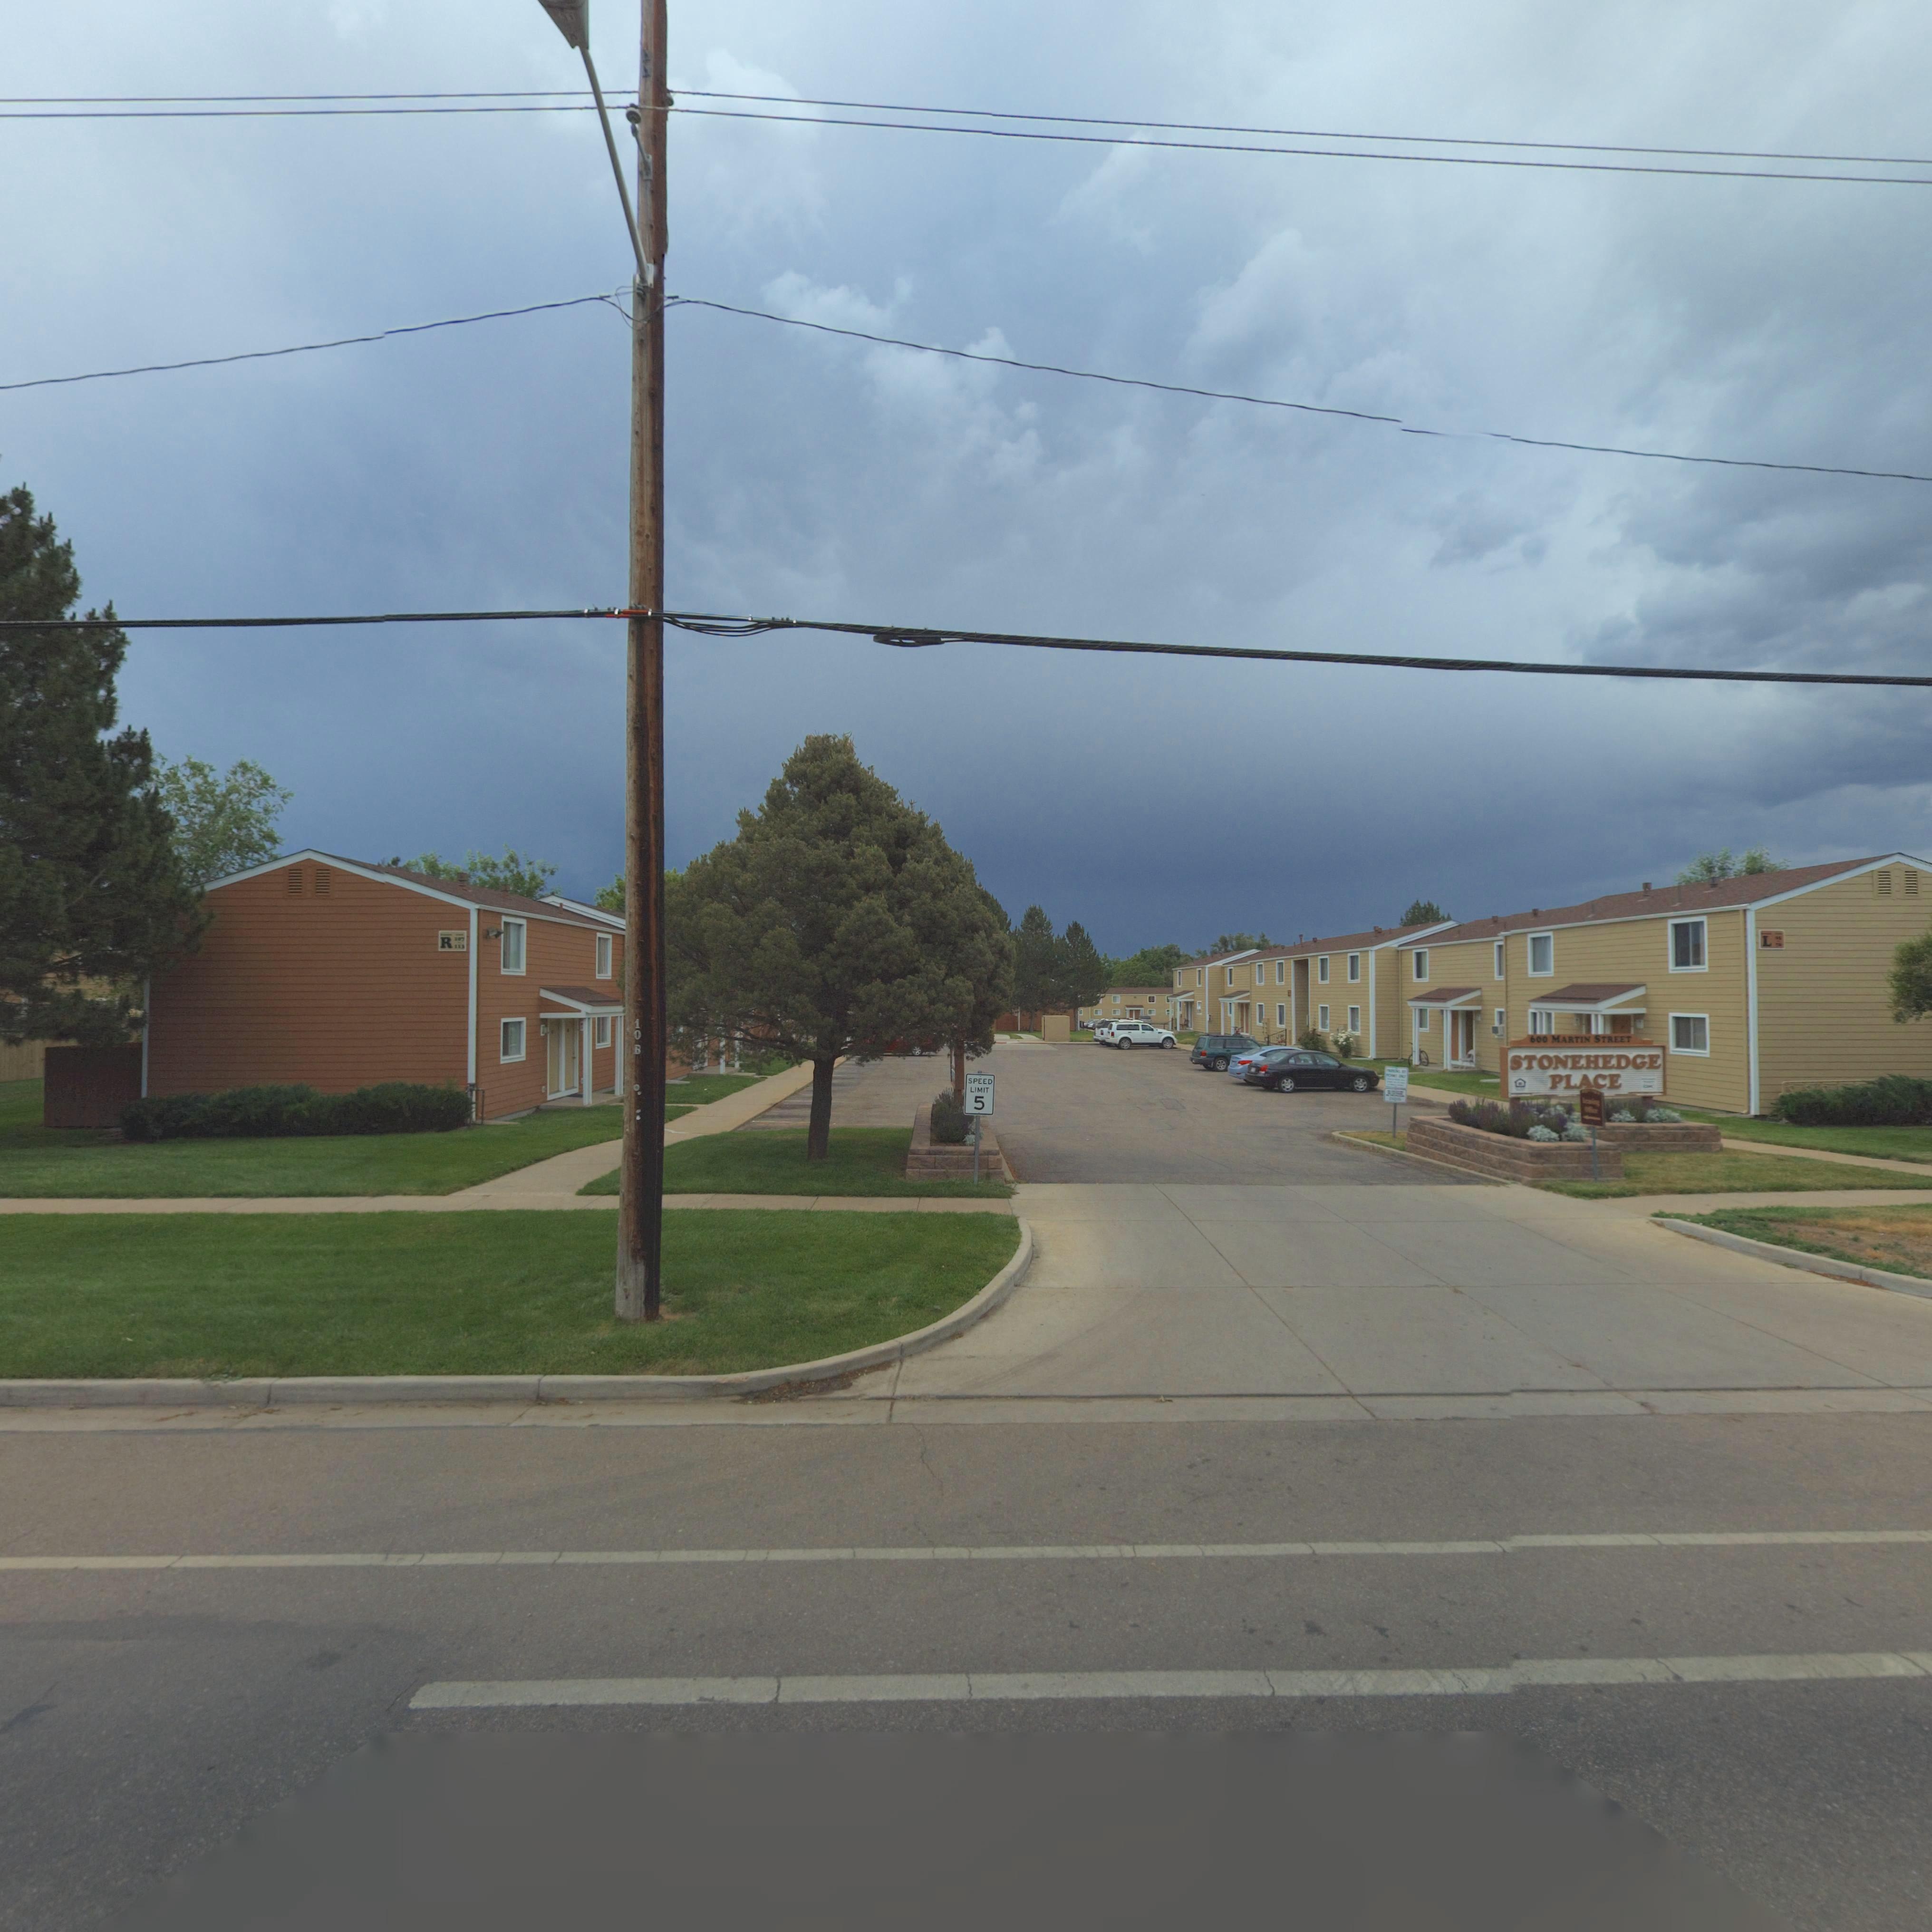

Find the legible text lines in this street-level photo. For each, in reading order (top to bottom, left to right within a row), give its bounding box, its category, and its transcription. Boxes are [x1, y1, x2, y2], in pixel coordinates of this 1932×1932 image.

[1529, 1035, 1548, 1043] StreetNumber: 600
[1551, 1034, 1632, 1043] StreetName: MARTIN STREET
[1509, 1053, 1662, 1071] BusinessName: STONEHEDGE
[1549, 1073, 1622, 1089] BusinessName: PLACE